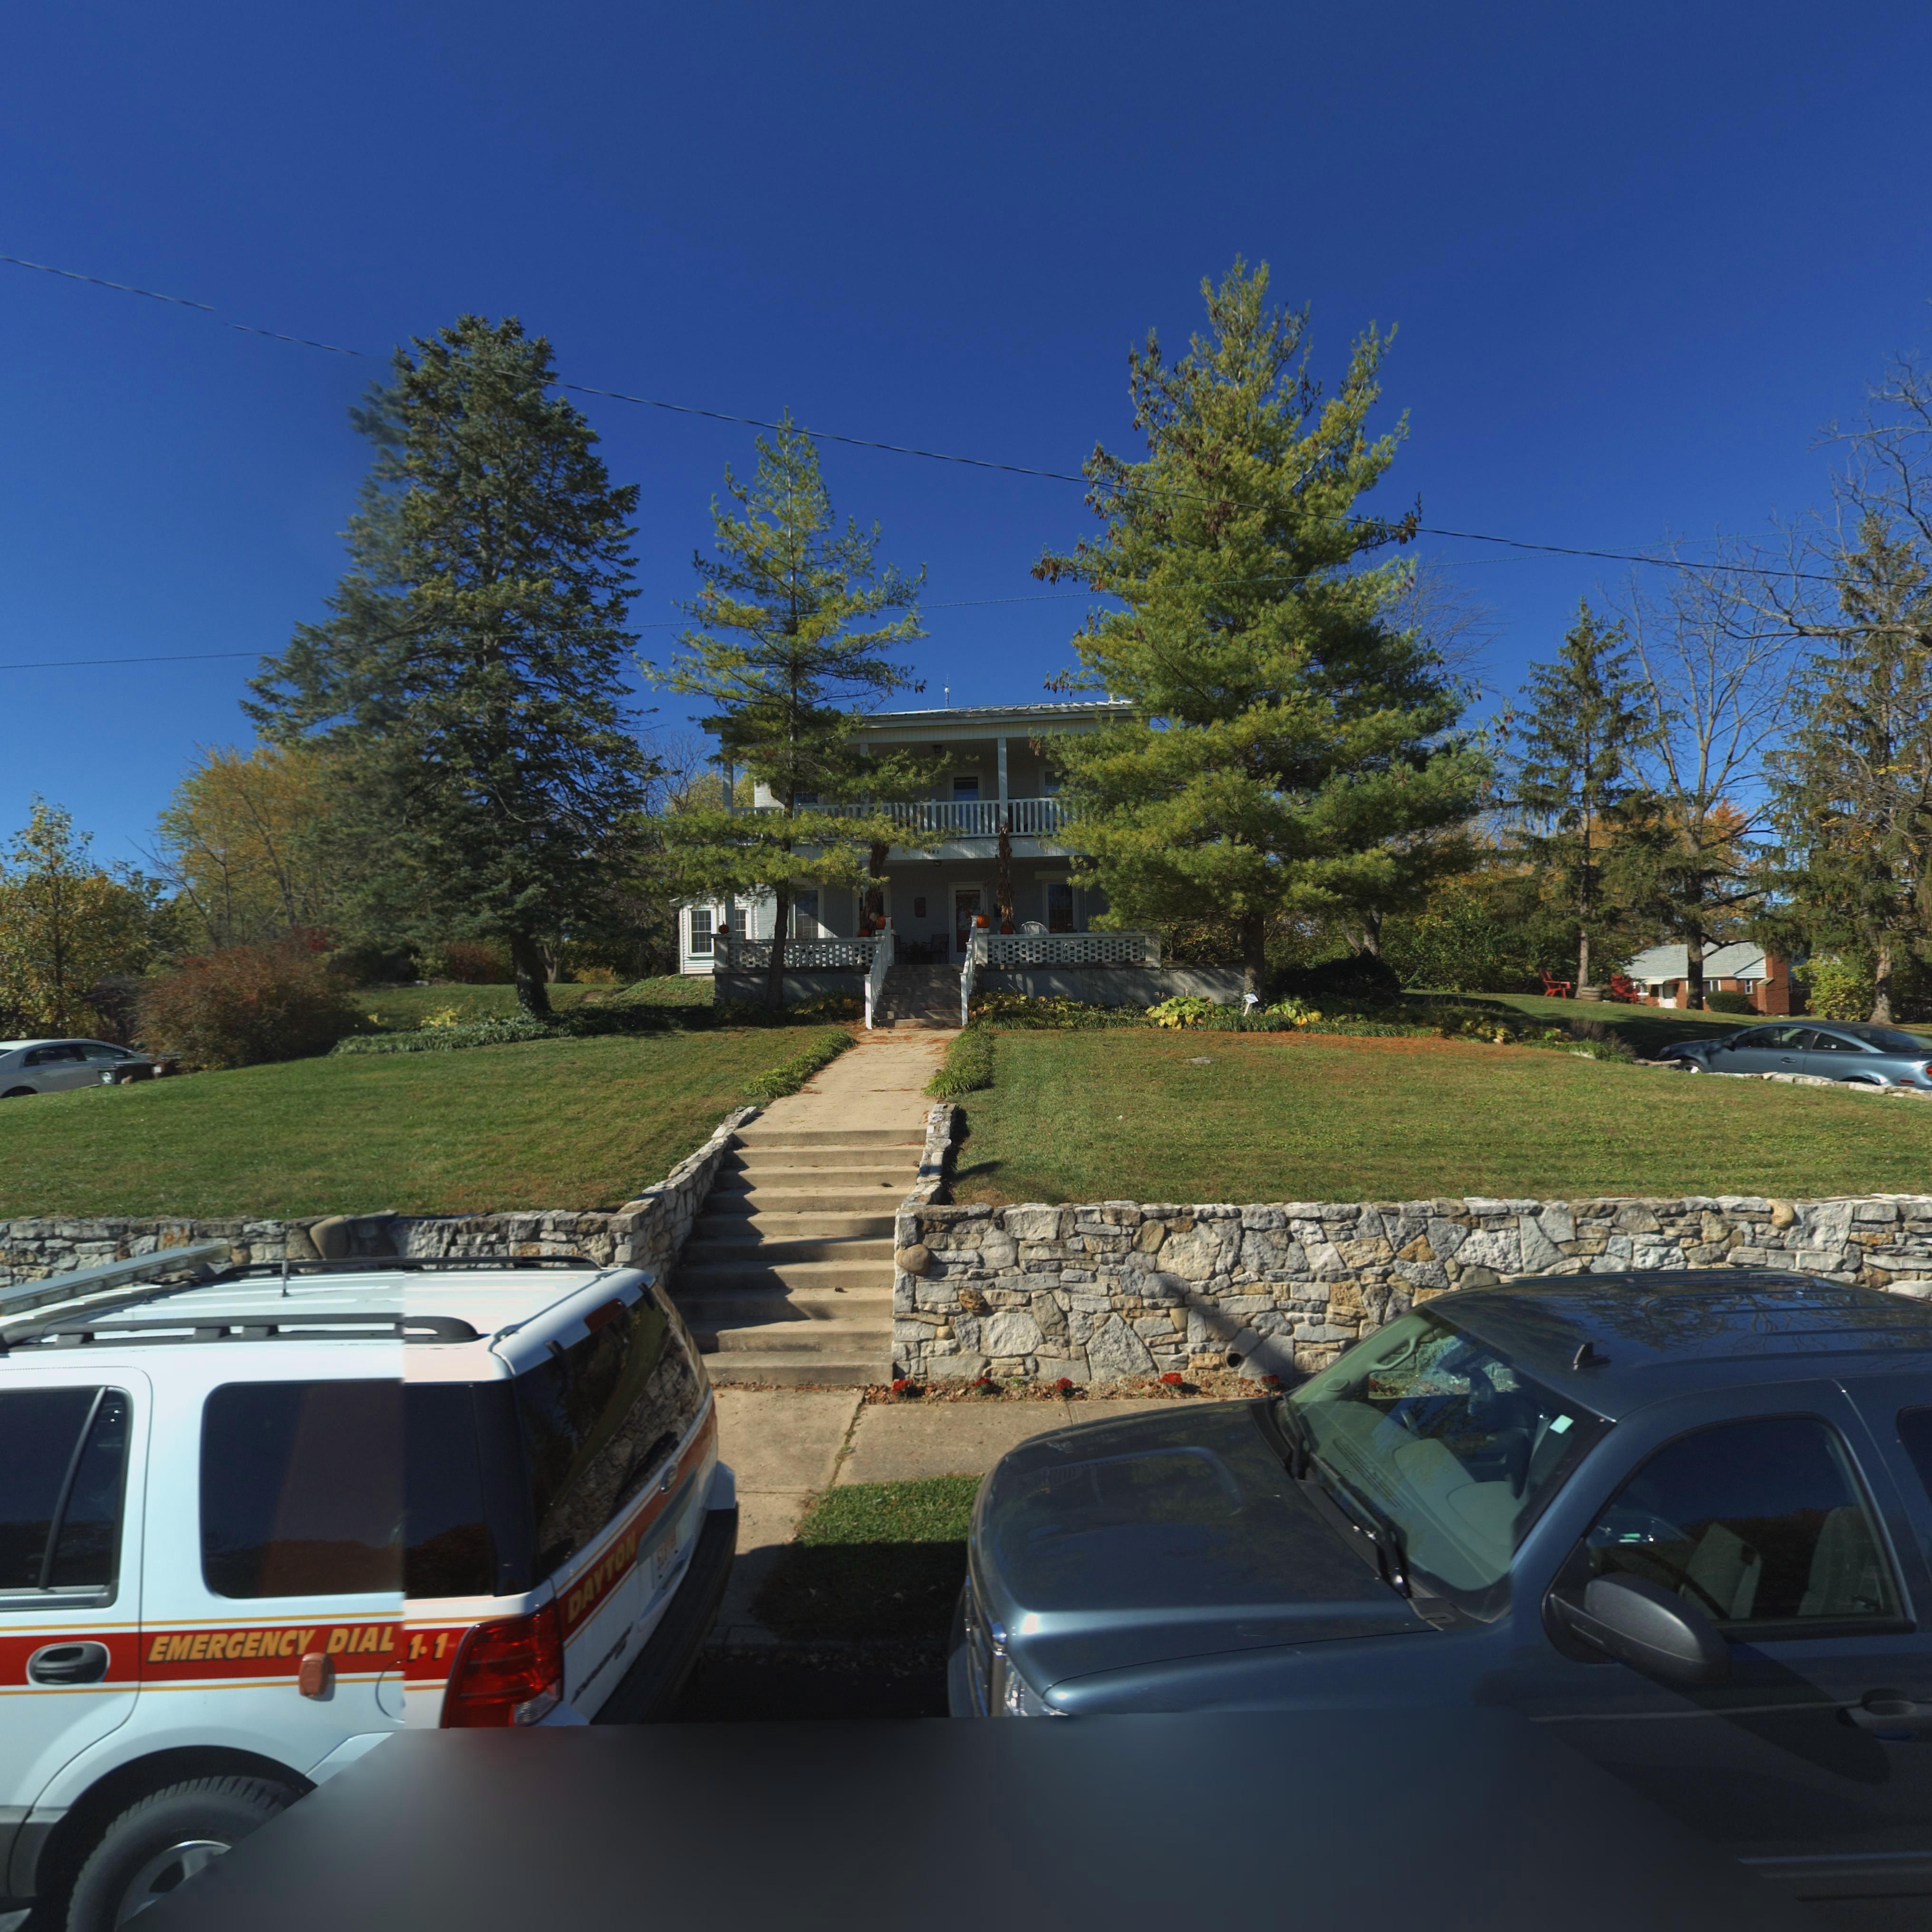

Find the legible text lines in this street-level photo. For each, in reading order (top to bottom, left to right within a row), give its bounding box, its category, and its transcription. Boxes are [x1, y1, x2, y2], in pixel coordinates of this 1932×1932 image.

[927, 850, 939, 854] StreetNumber: 401
[564, 1525, 637, 1630] None: DAYTON
[144, 1625, 397, 1664] None: EMERGENCY DIAL
[407, 1632, 451, 1661] None: 1-1